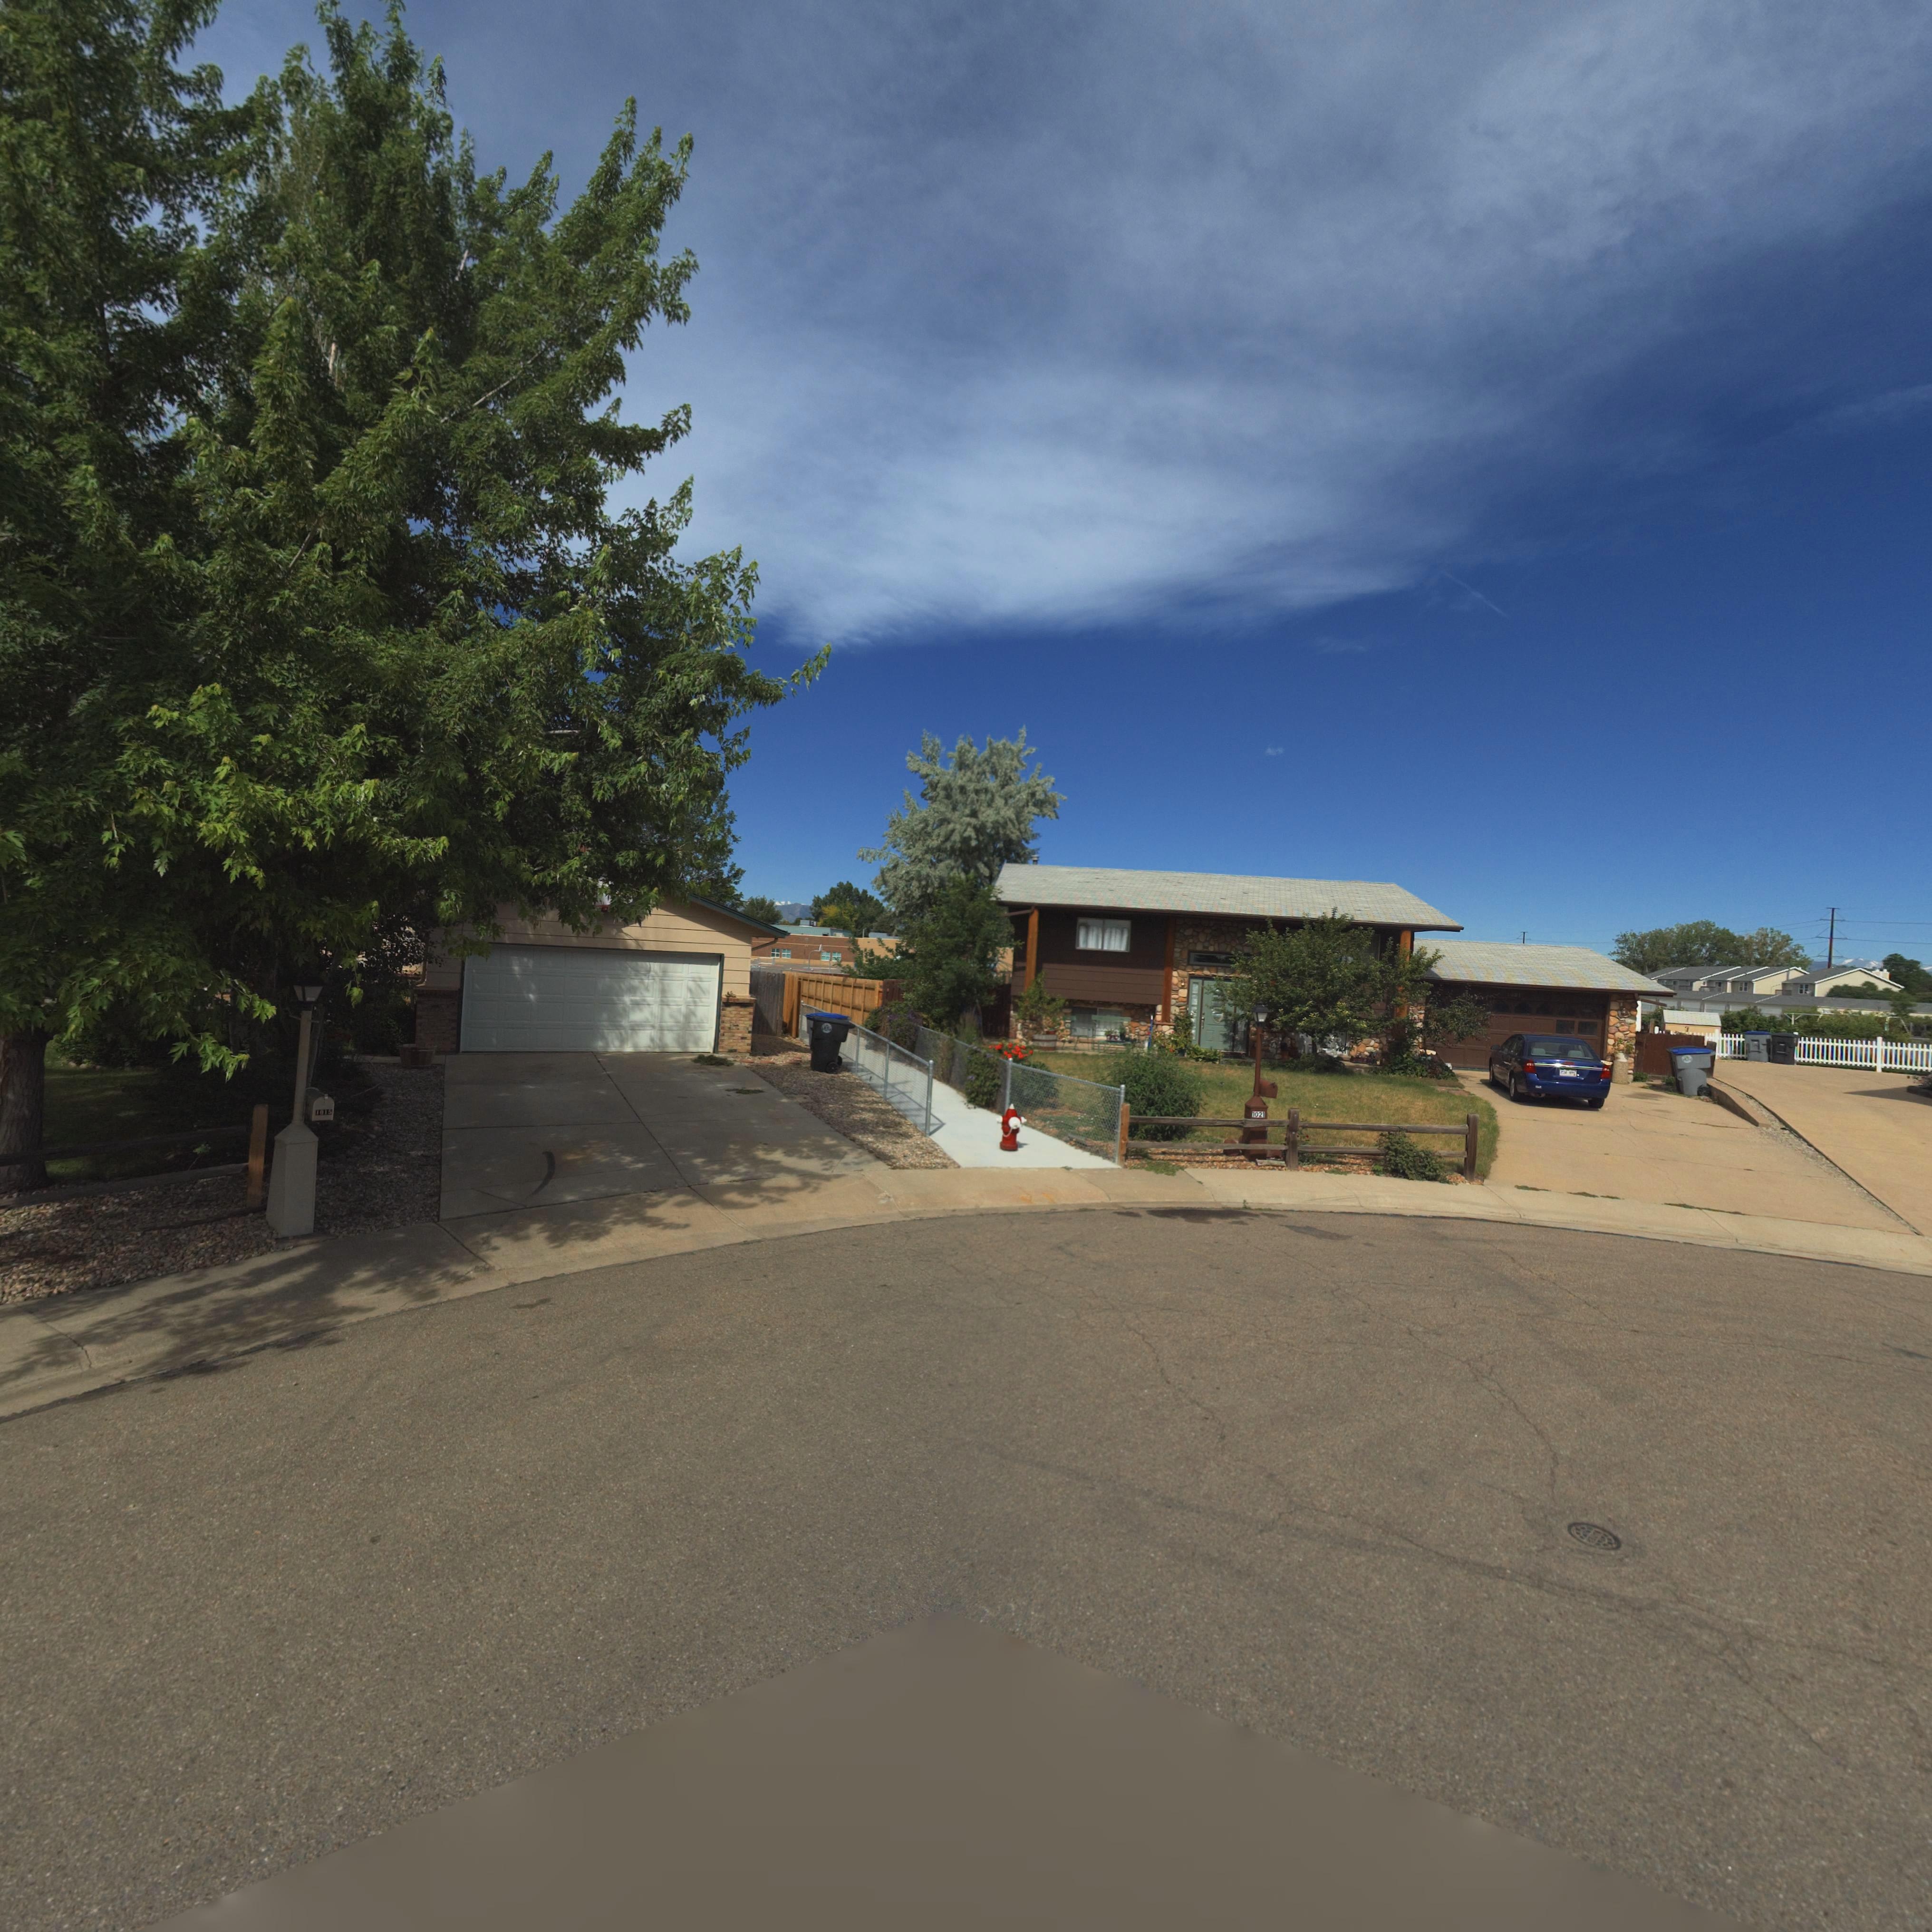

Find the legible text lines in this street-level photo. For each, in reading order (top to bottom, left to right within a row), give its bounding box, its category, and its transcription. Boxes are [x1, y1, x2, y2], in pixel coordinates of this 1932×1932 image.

[316, 1109, 331, 1115] StreetNumber: 1015
[1252, 1111, 1264, 1117] StreetNumber: 1021